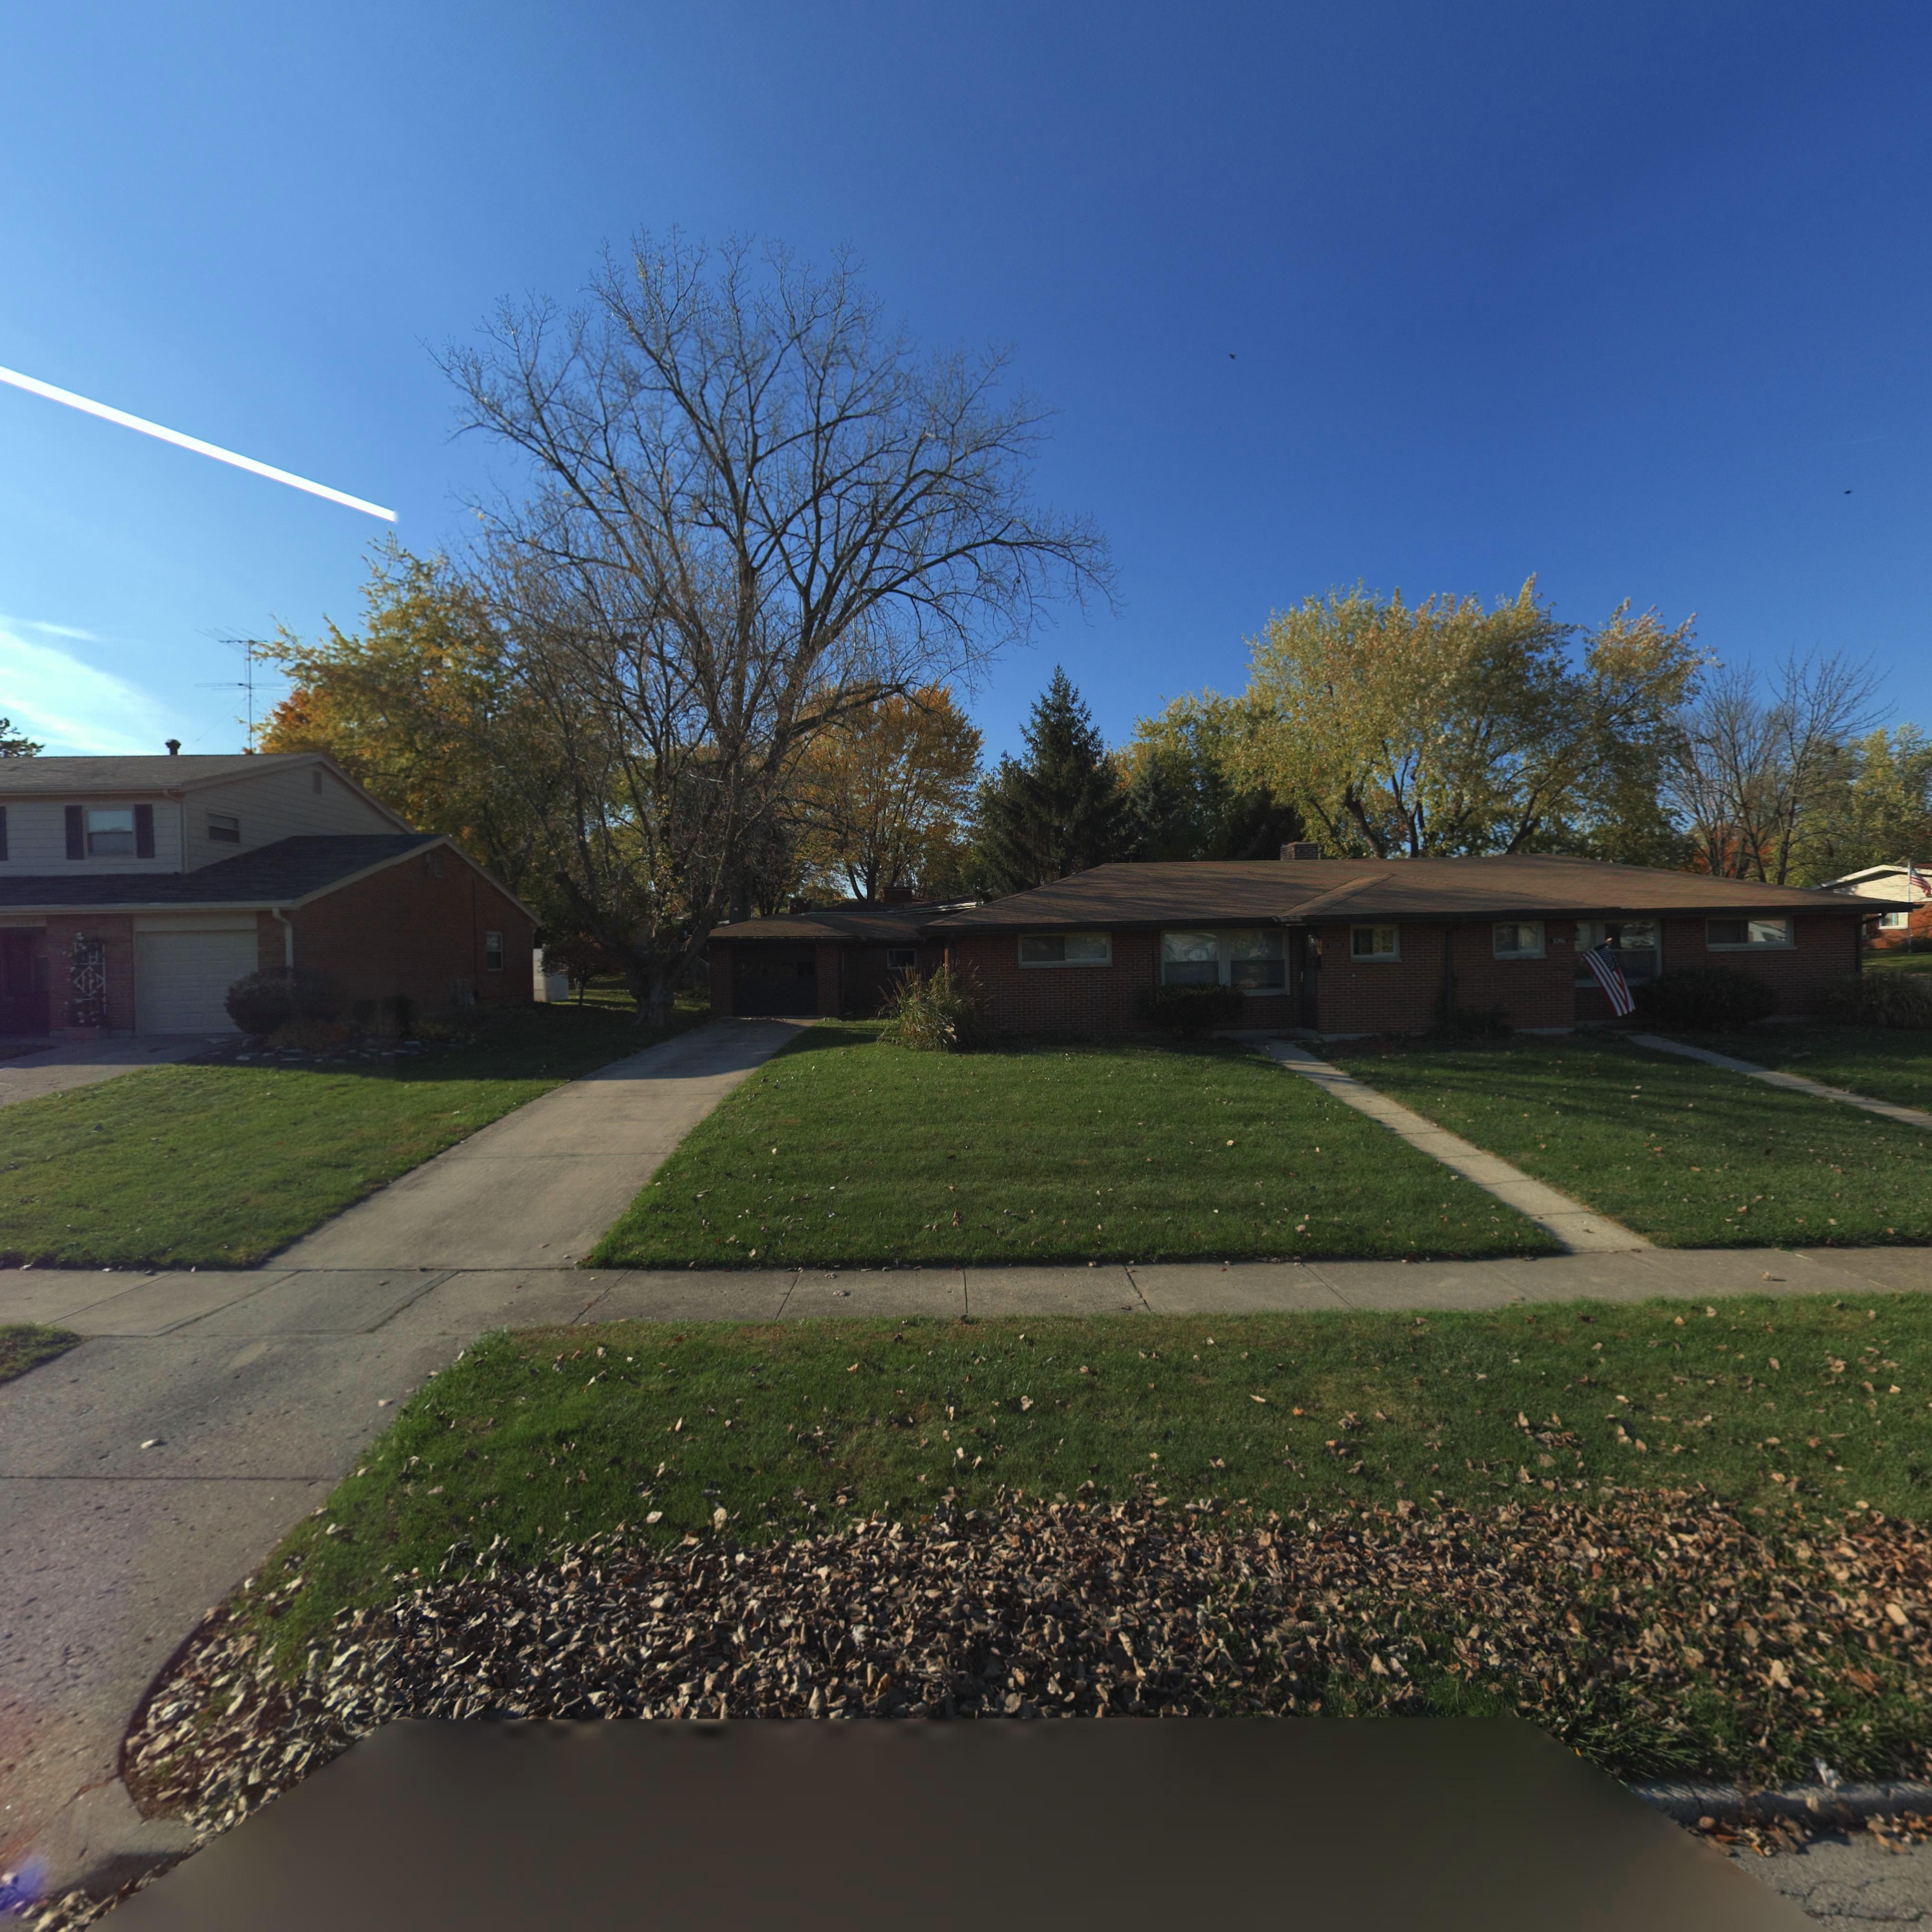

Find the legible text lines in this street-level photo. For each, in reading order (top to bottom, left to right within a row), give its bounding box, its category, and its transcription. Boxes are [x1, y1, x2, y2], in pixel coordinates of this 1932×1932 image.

[1552, 937, 1566, 943] StreetNumber: 3201
[1328, 942, 1341, 948] StreetNumber: 3205